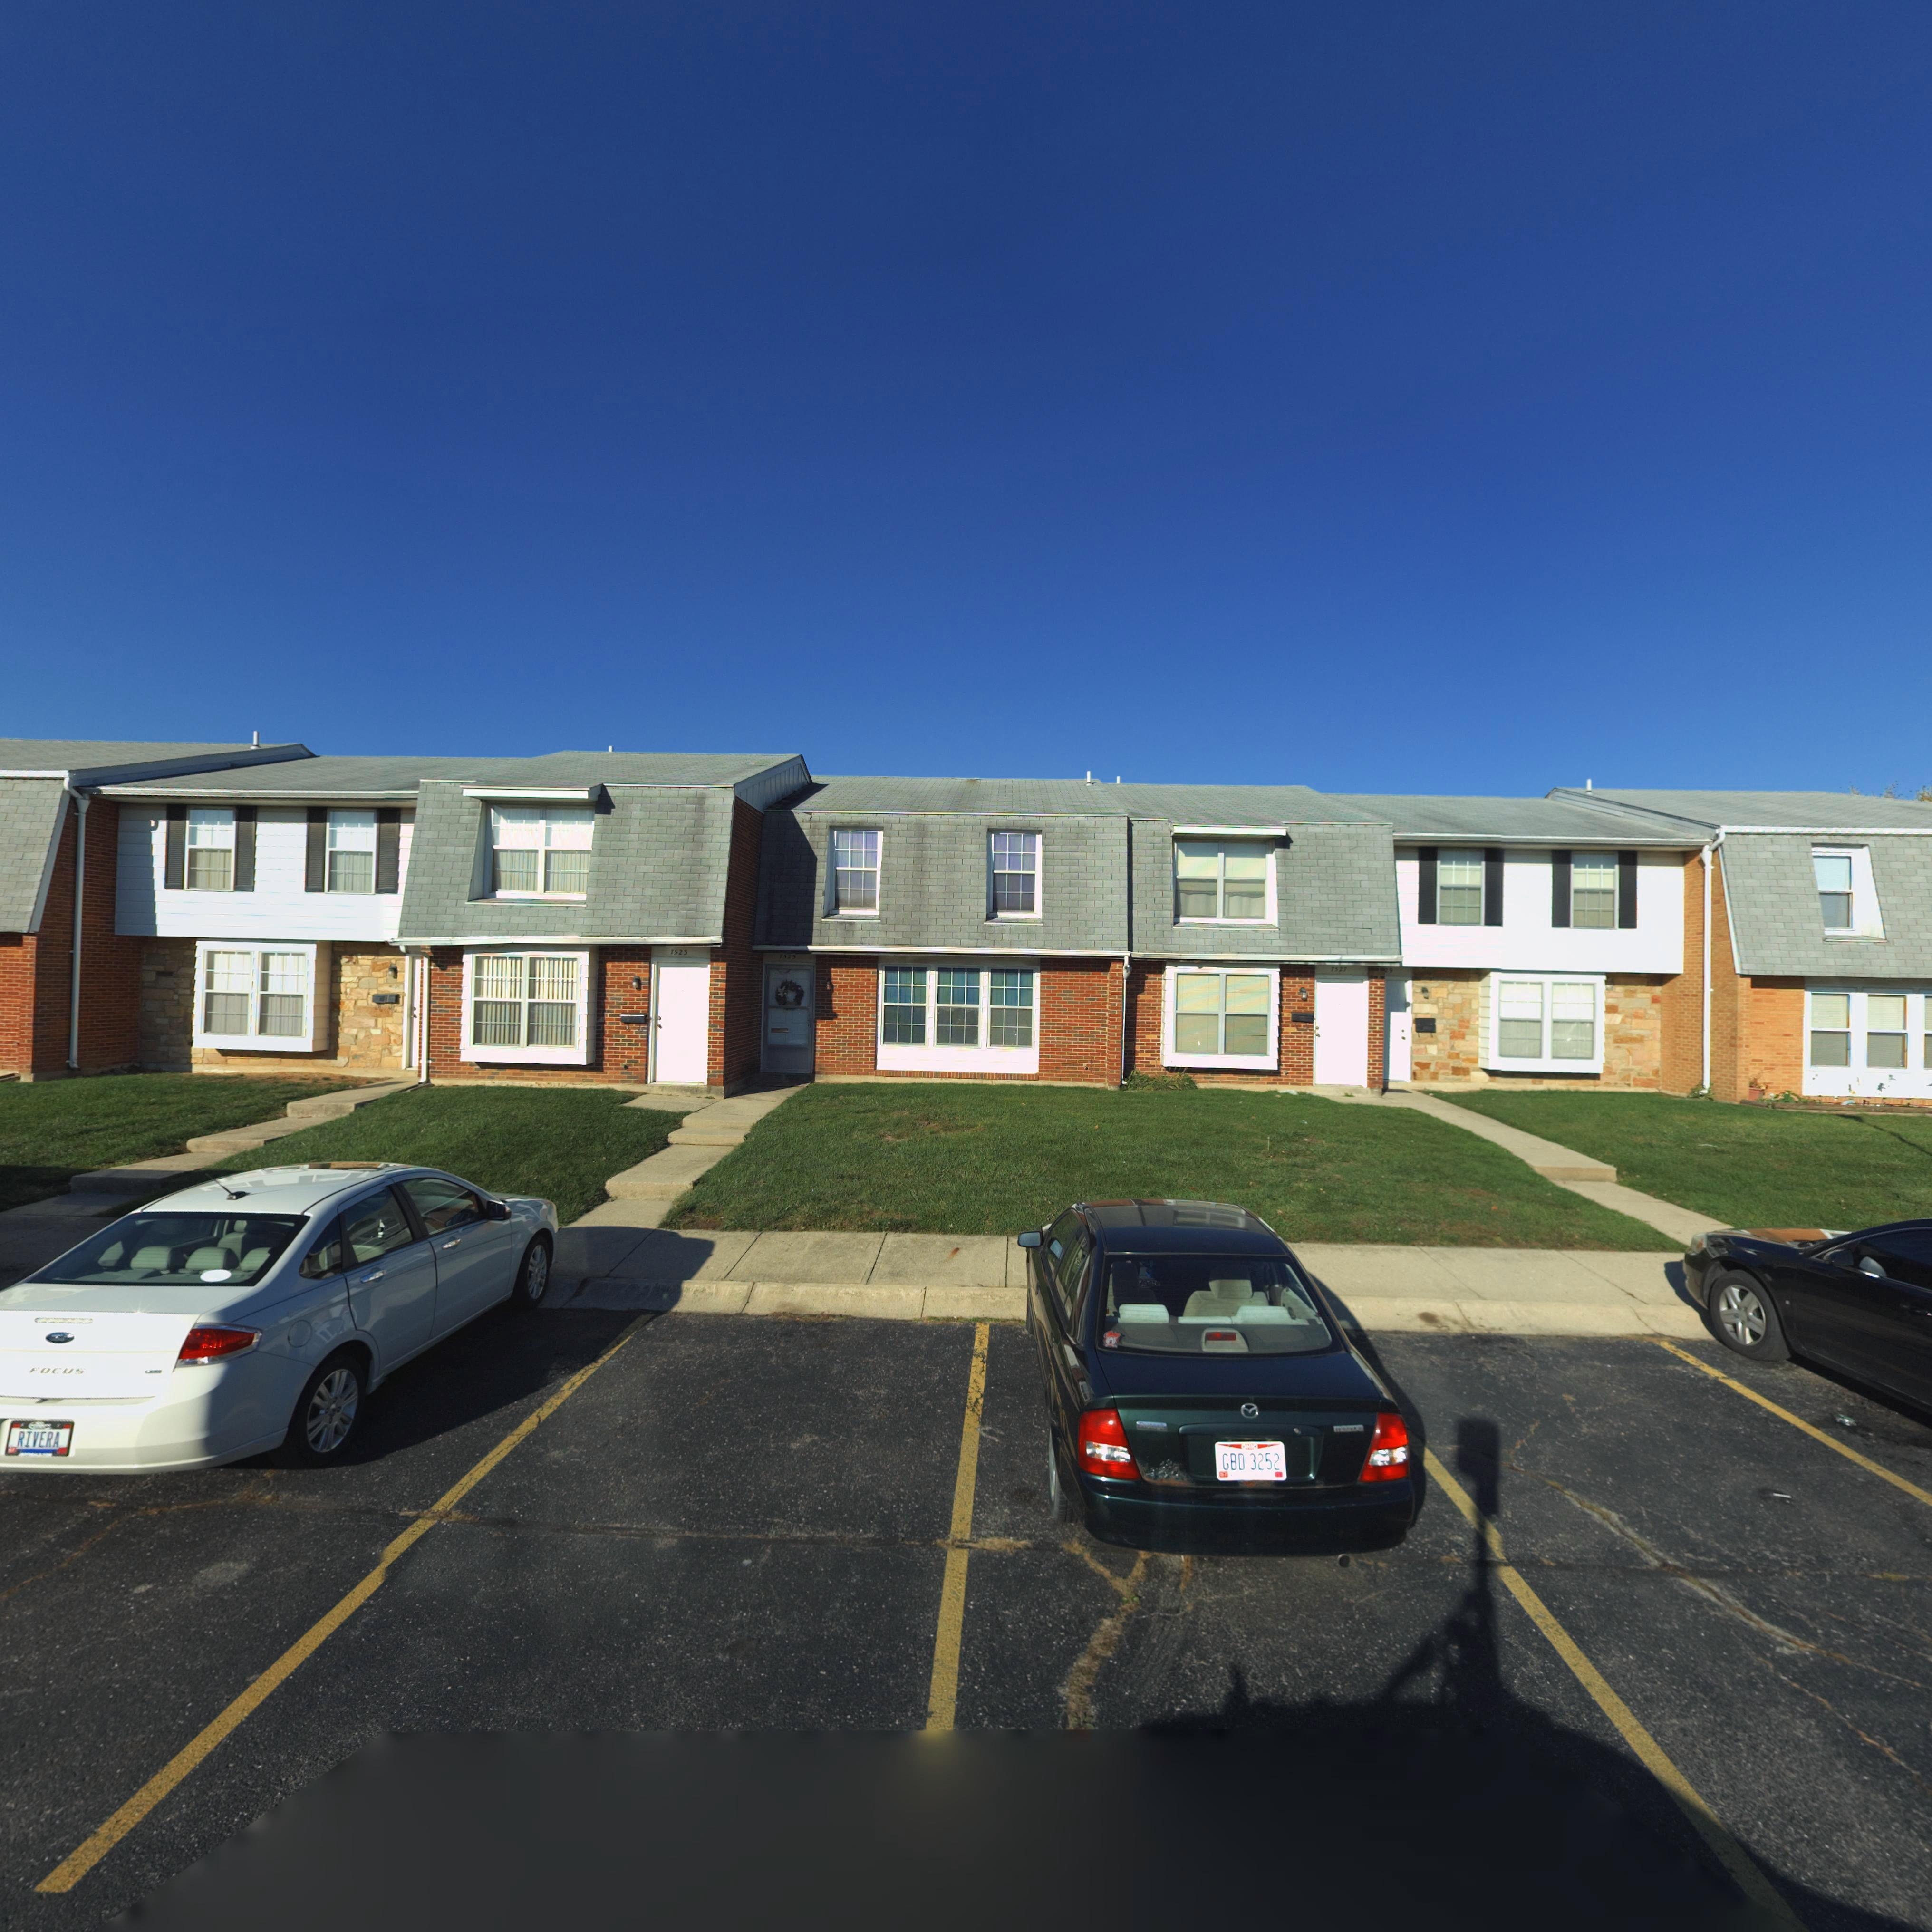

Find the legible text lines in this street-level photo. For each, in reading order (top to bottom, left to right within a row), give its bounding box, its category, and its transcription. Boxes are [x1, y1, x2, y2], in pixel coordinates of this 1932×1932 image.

[670, 948, 688, 956] StreetNumber: 7523
[778, 954, 796, 959] StreetNumber: 7525
[1330, 966, 1347, 972] StreetNumber: 7527
[1384, 967, 1393, 973] StreetNumber: 29